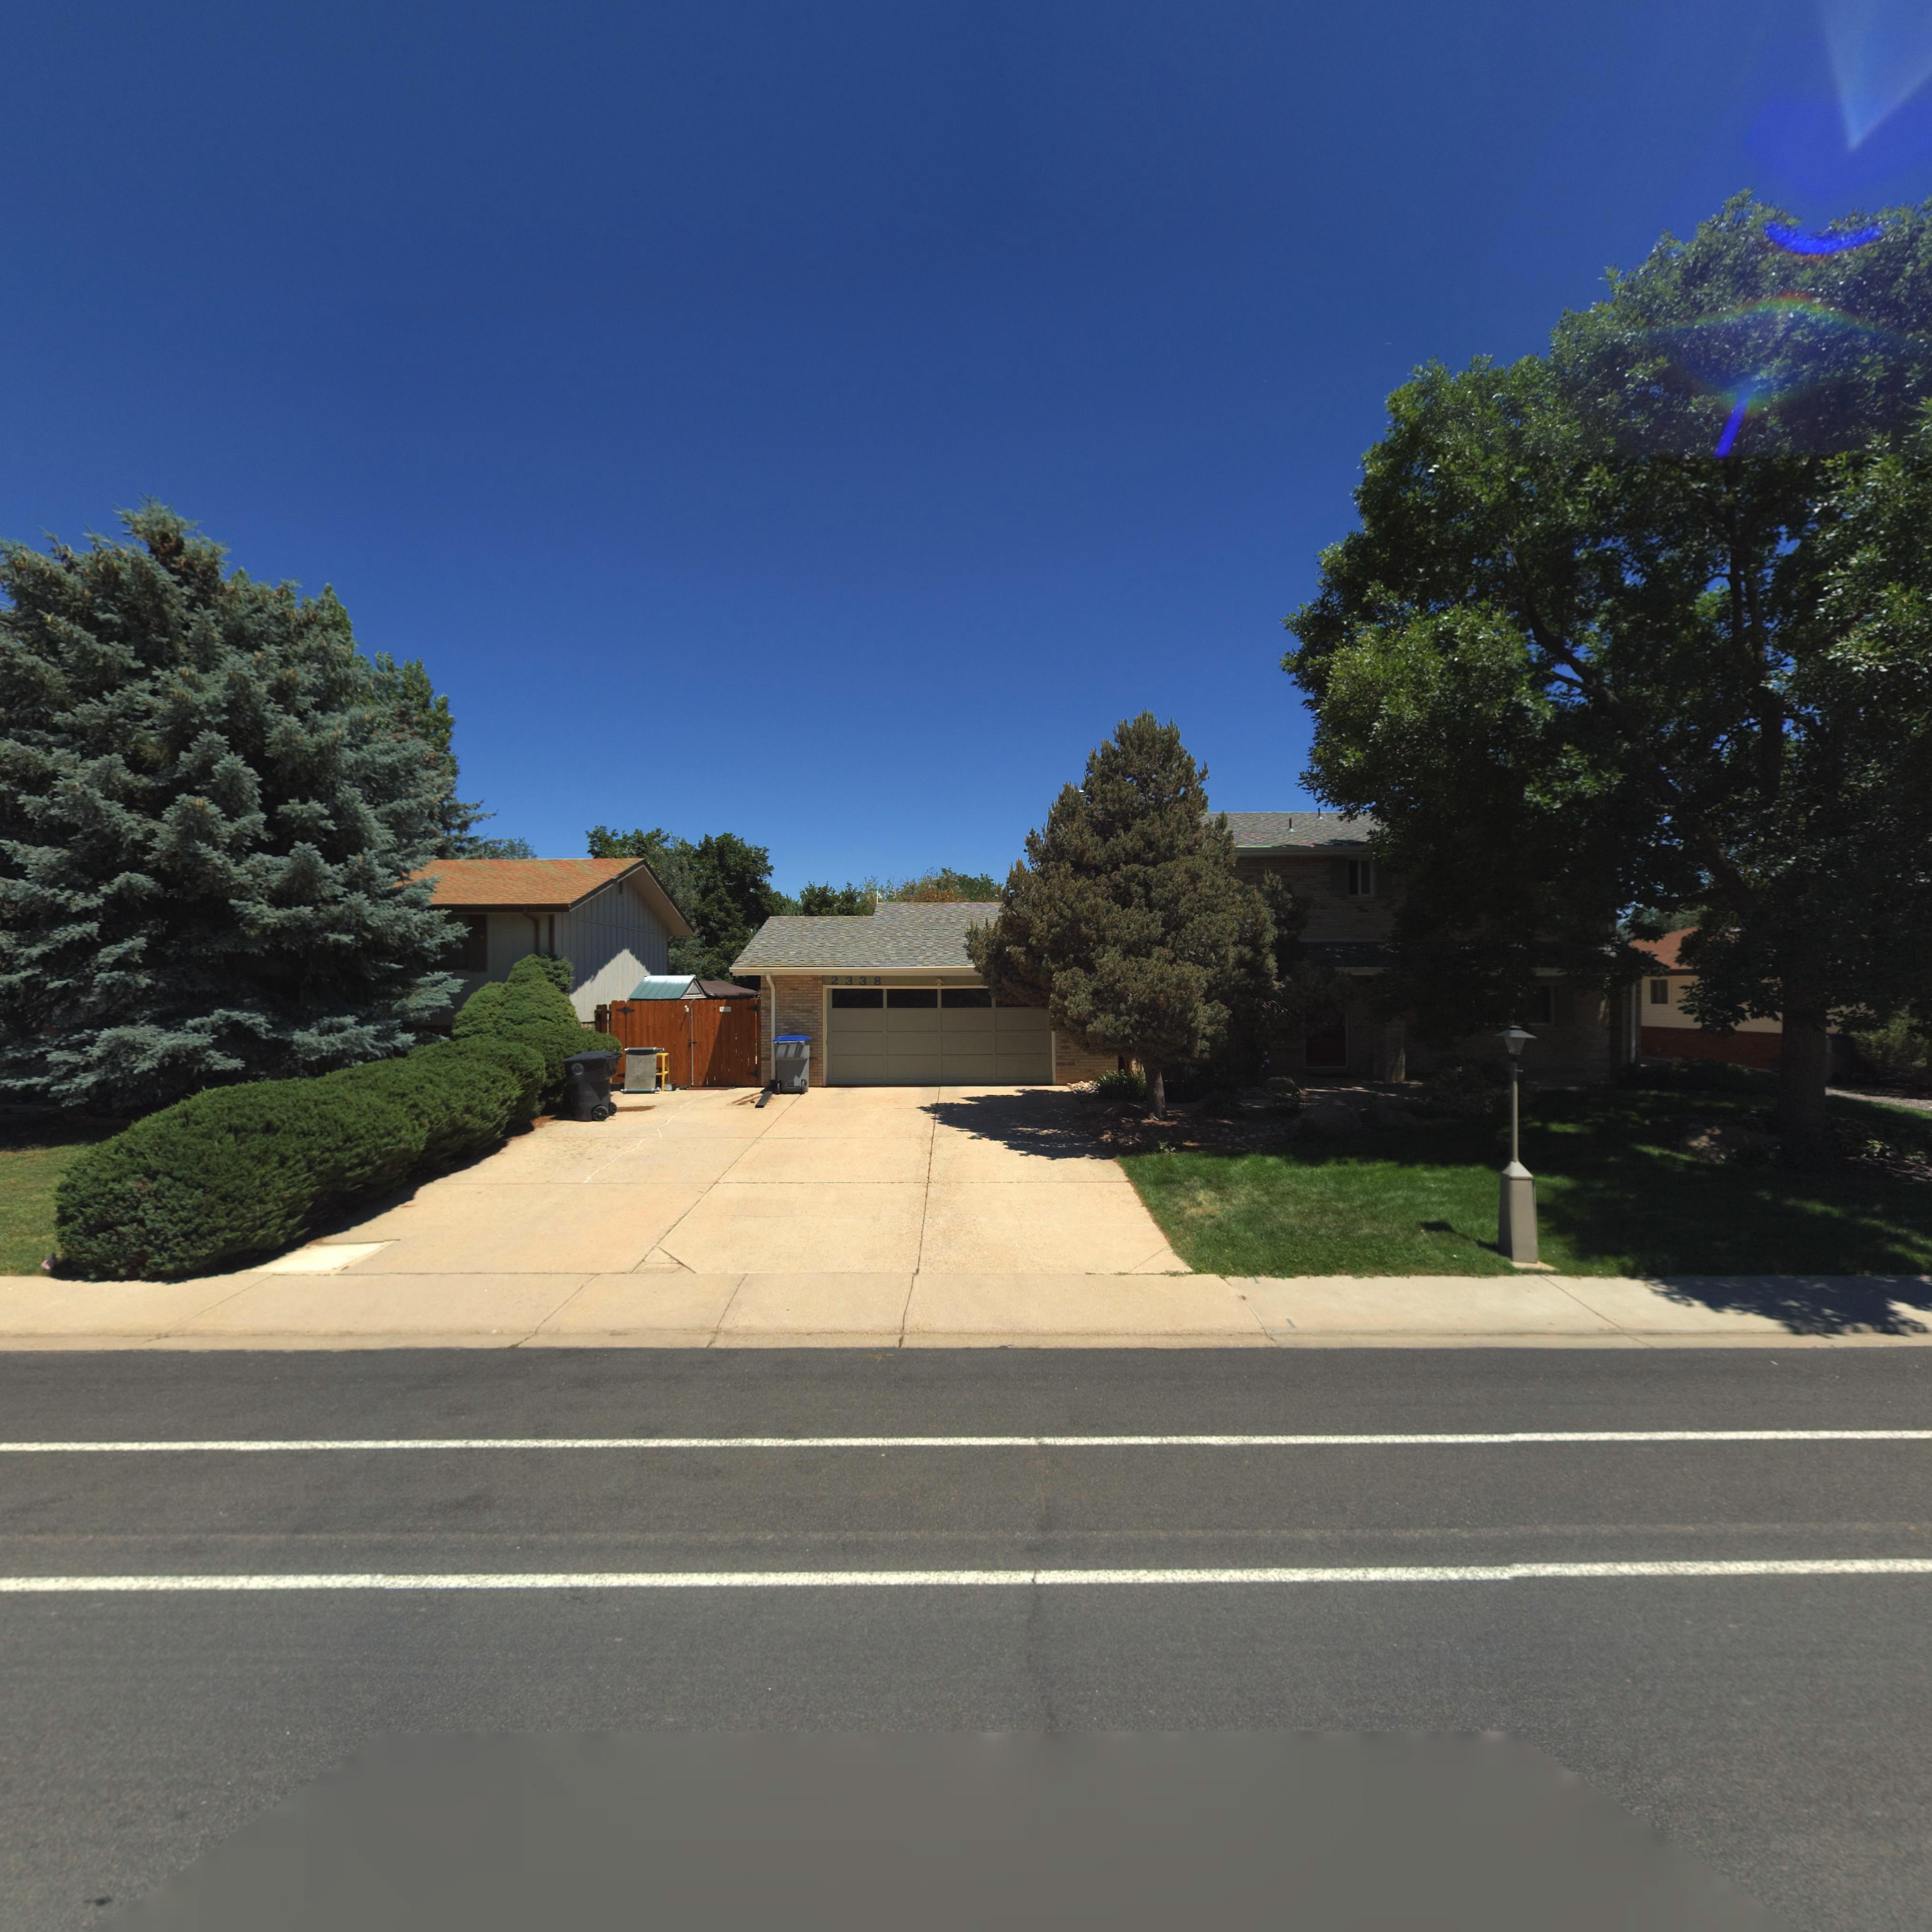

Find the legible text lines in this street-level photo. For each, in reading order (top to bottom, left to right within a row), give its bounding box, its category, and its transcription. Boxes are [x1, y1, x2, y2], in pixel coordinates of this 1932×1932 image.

[830, 976, 881, 985] StreetNumber: 2338